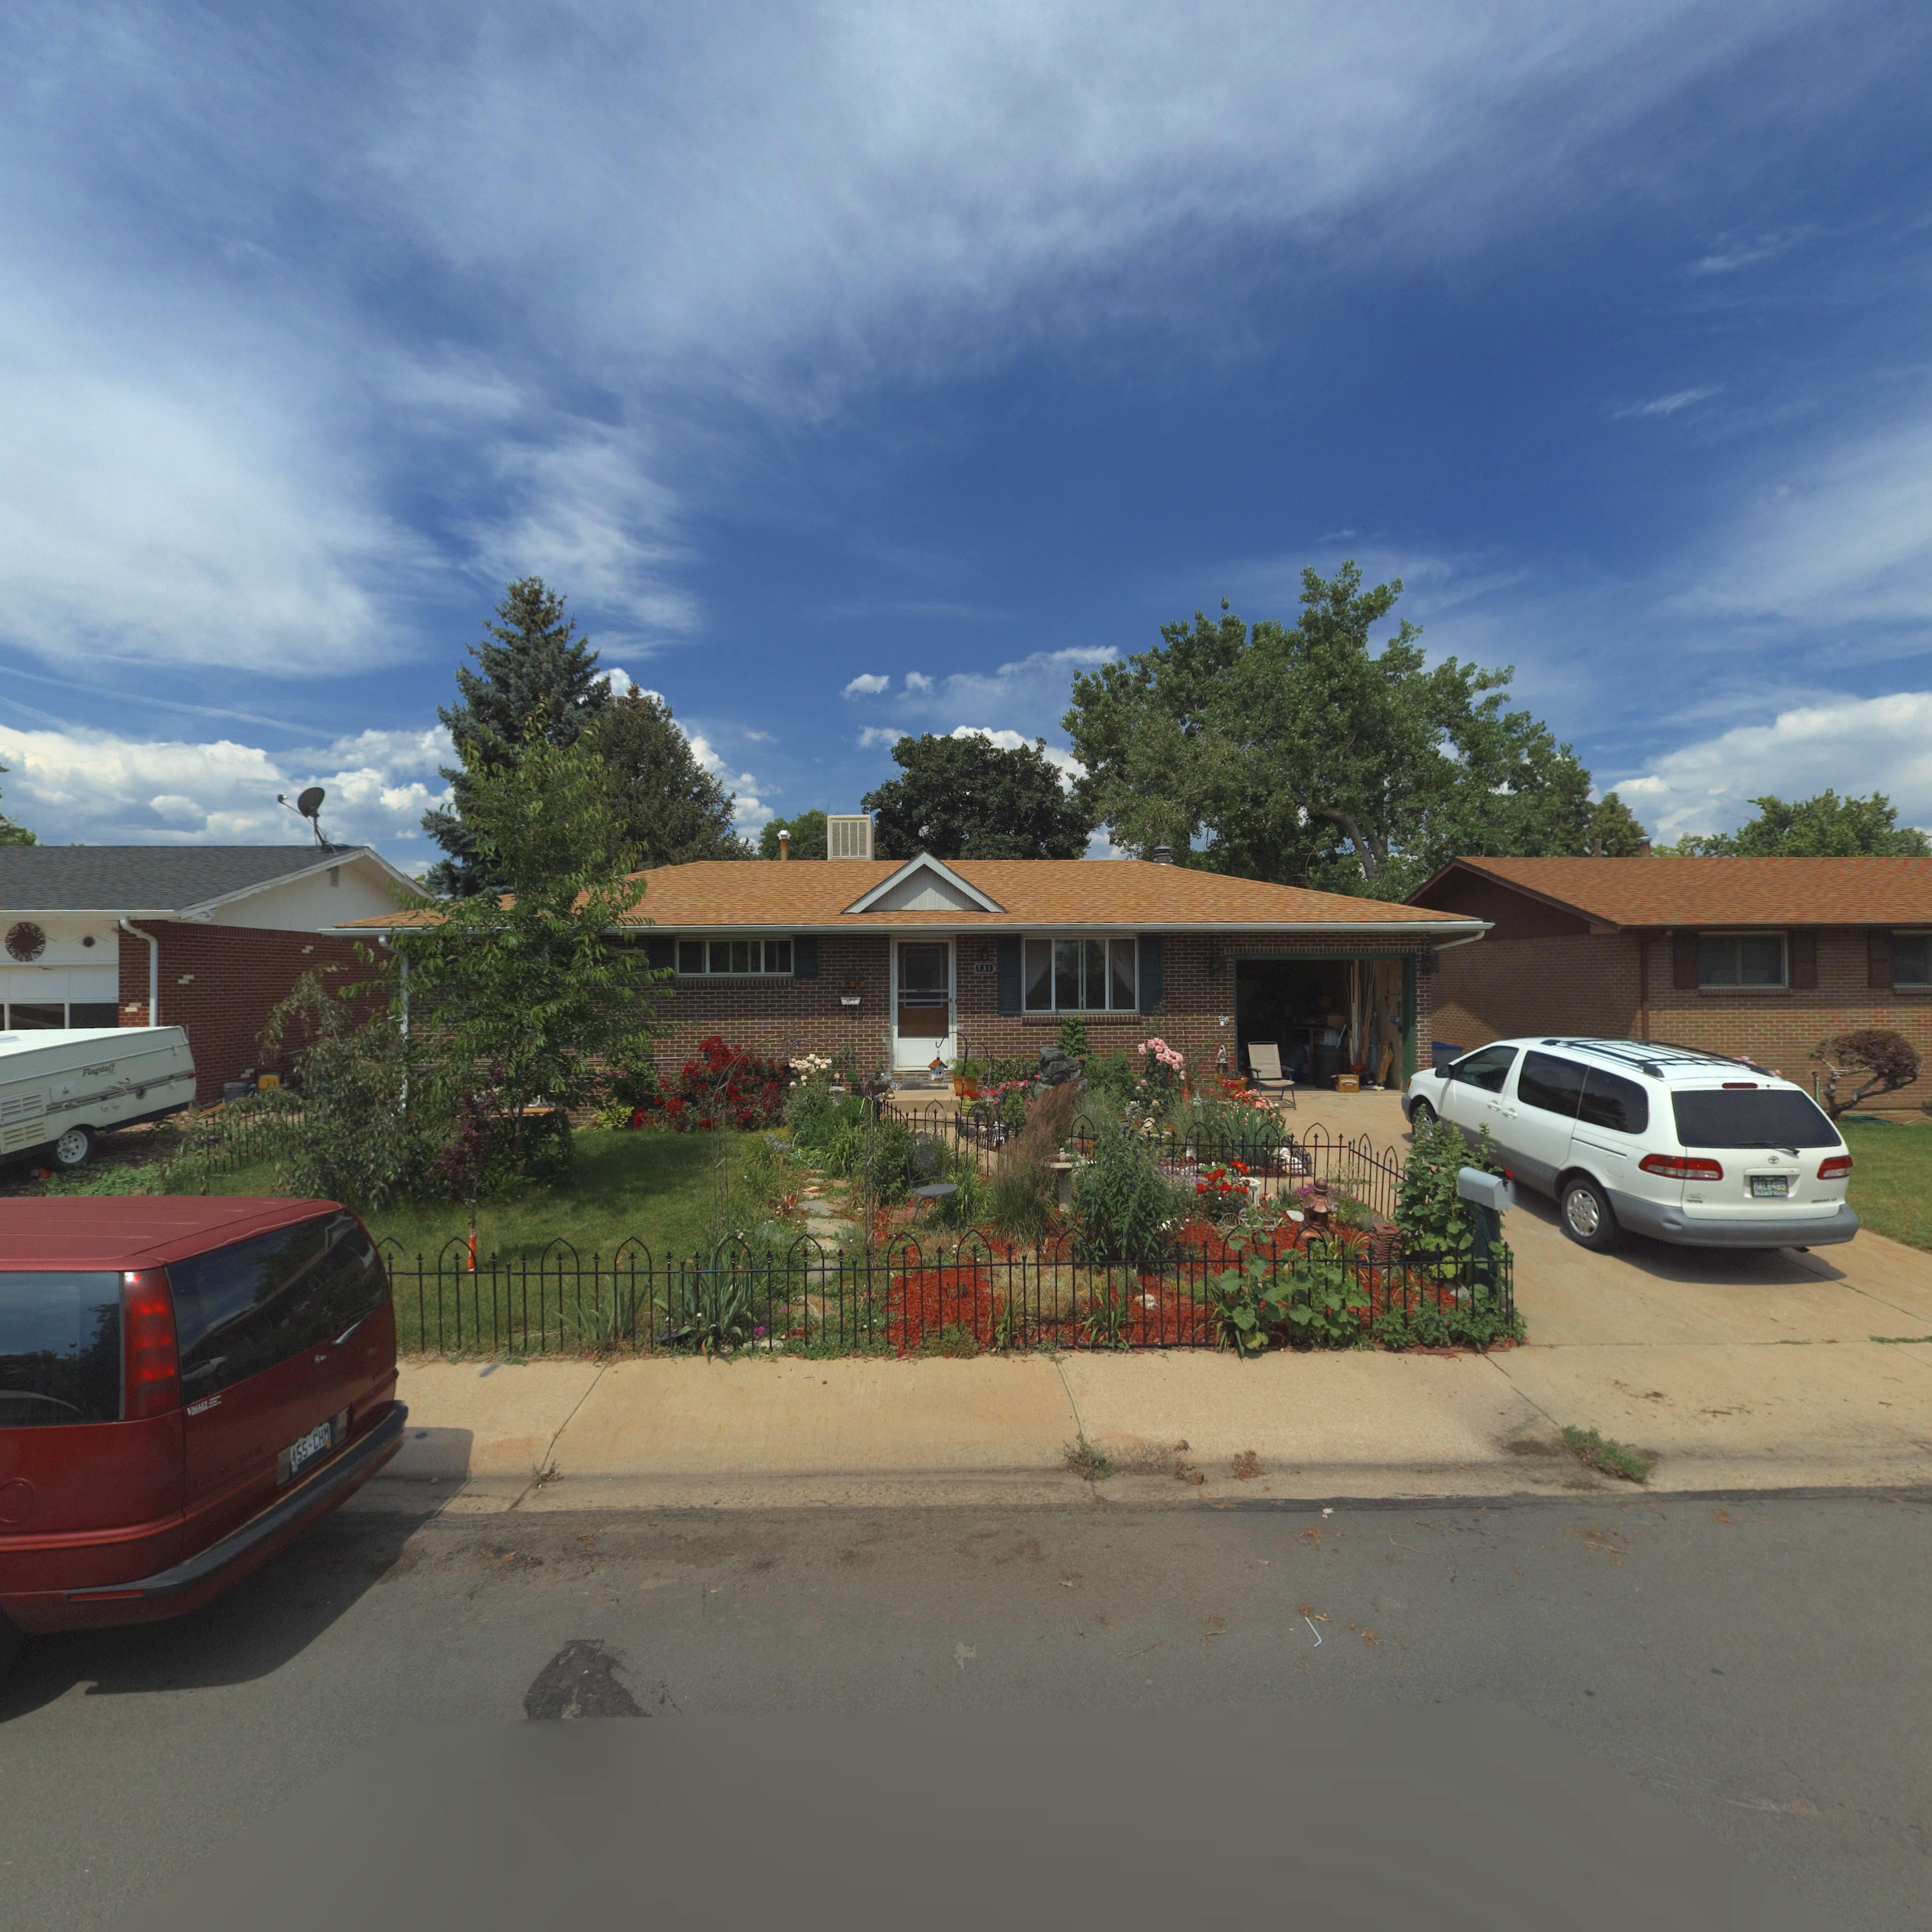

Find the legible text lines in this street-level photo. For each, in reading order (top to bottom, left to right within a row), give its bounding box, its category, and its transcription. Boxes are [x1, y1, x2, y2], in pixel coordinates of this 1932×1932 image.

[976, 965, 991, 971] StreetNumber: 731